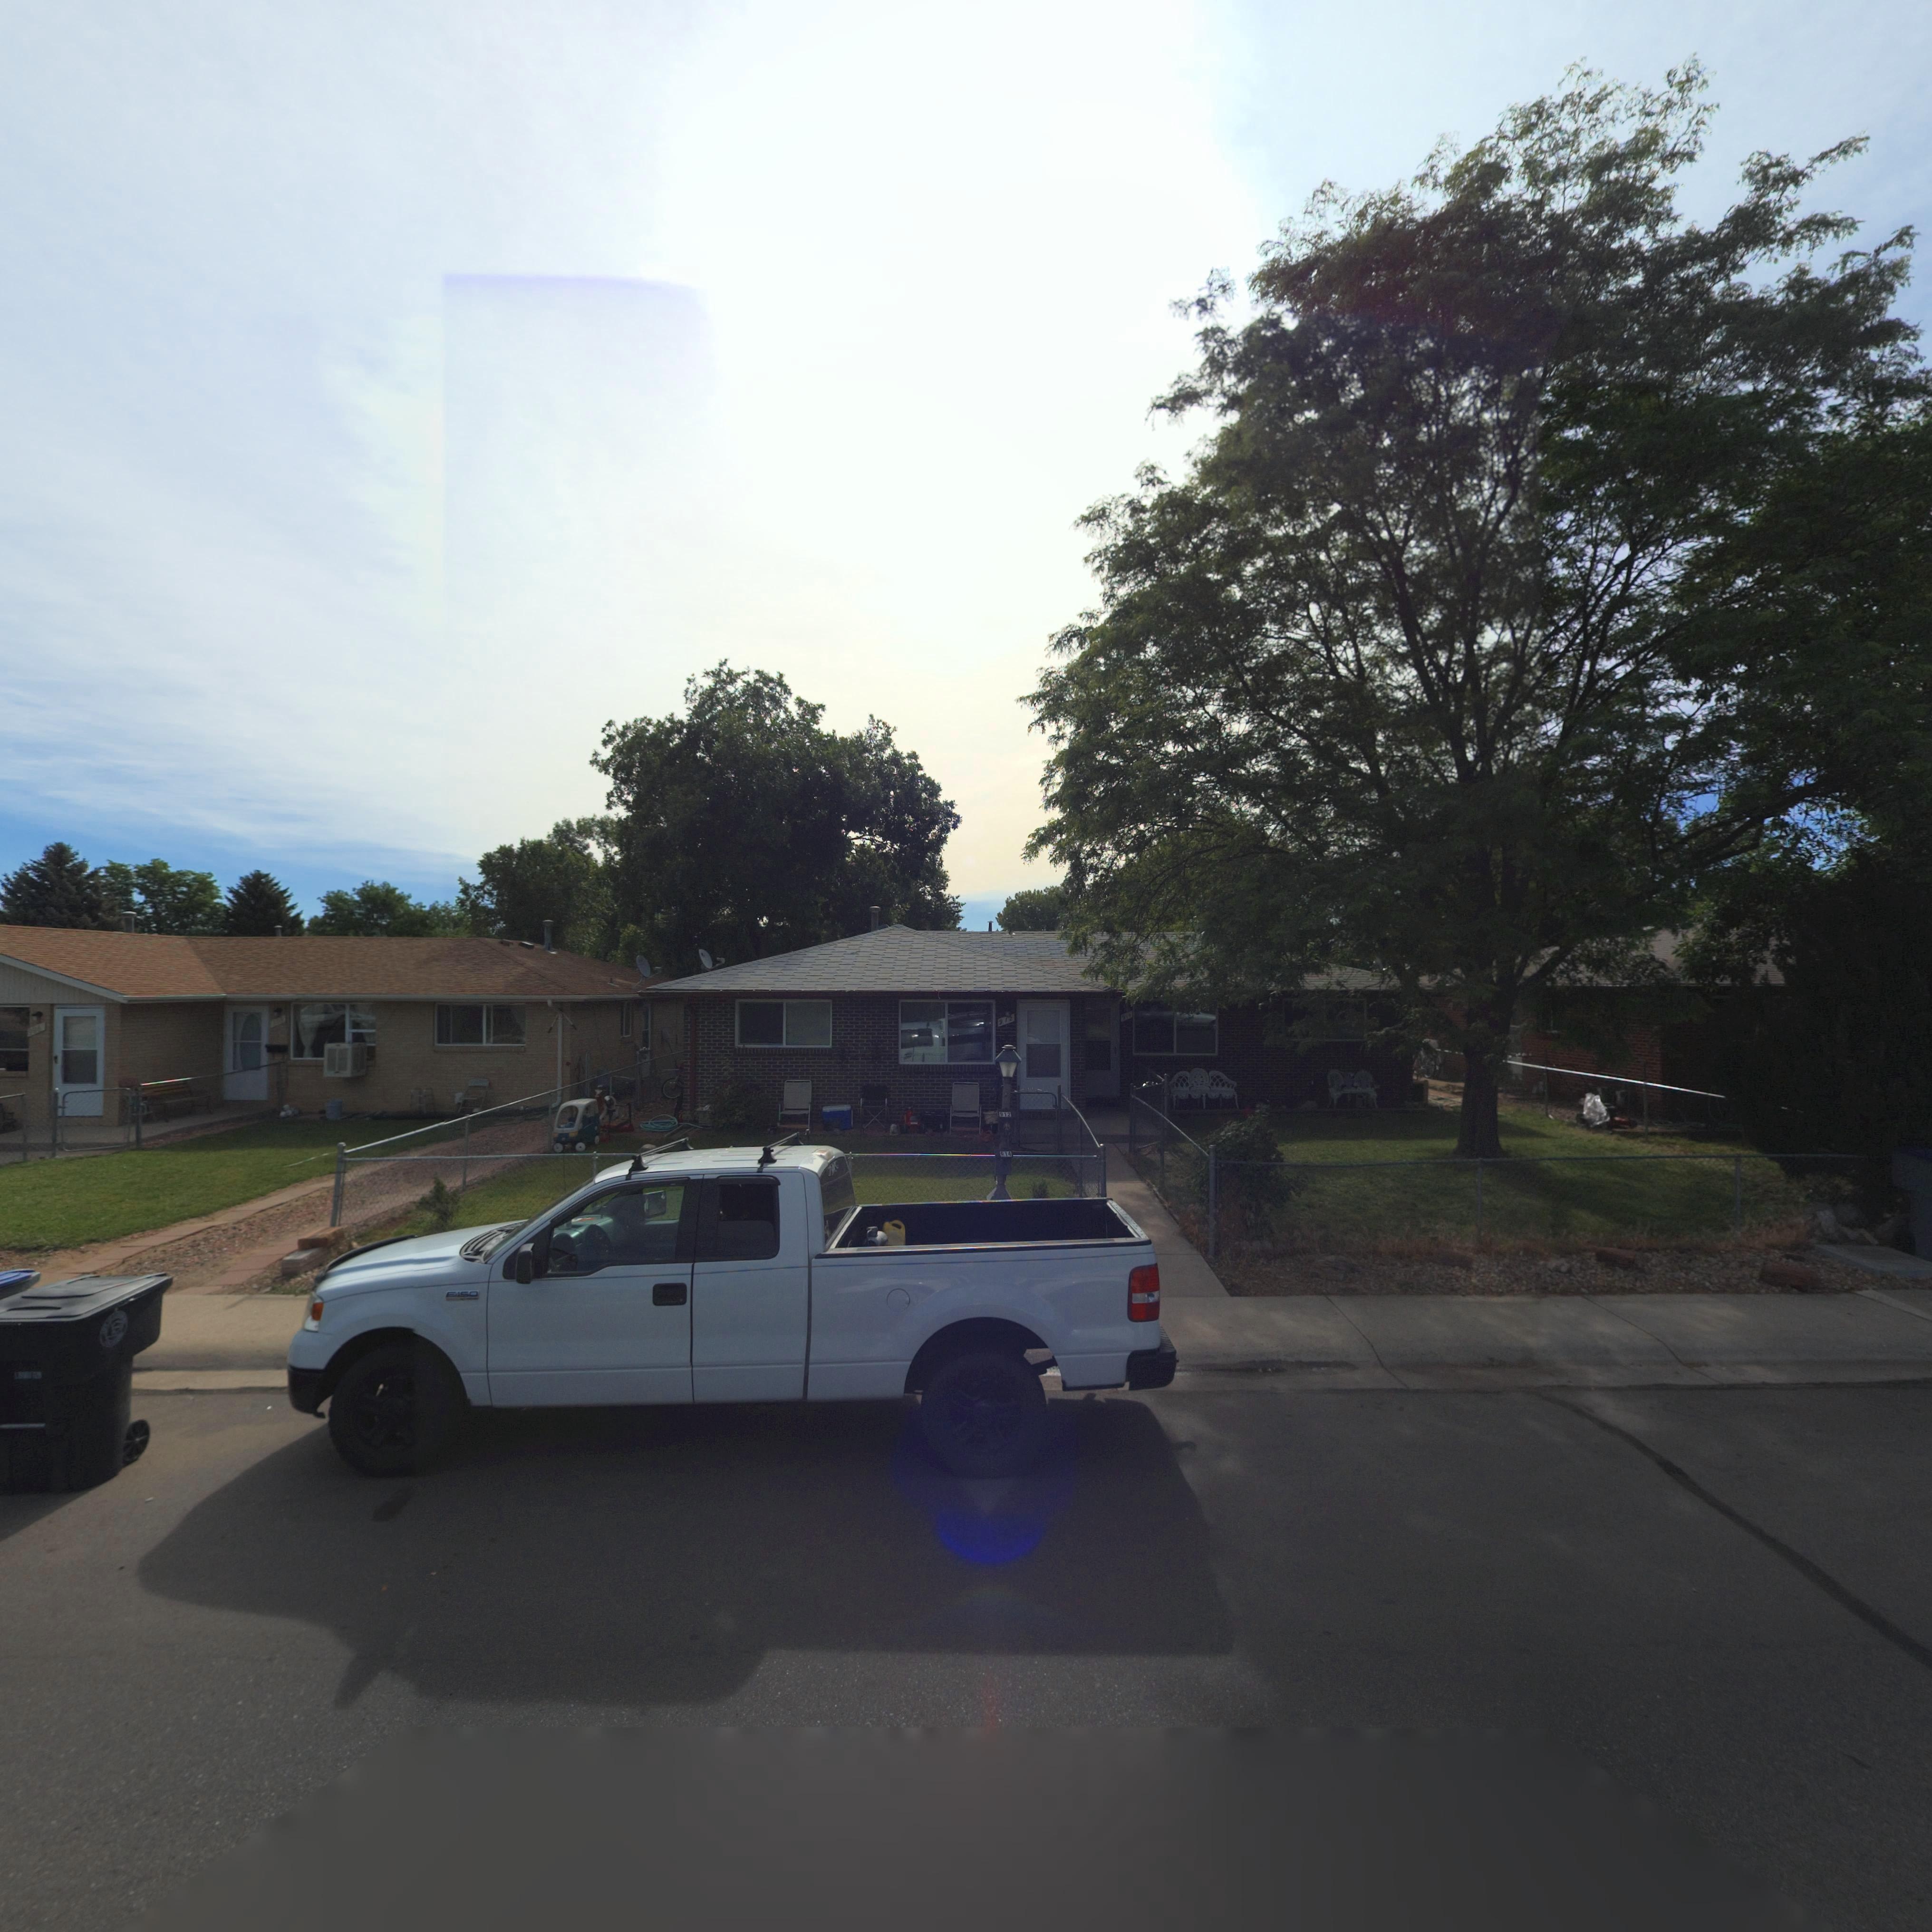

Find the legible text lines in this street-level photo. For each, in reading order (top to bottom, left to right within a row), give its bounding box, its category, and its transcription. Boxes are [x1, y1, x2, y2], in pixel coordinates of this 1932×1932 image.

[998, 1014, 1014, 1025] StreetNumber: 912
[1000, 1111, 1011, 1117] StreetNumber: 912
[1000, 1151, 1013, 1157] StreetNumber: 914